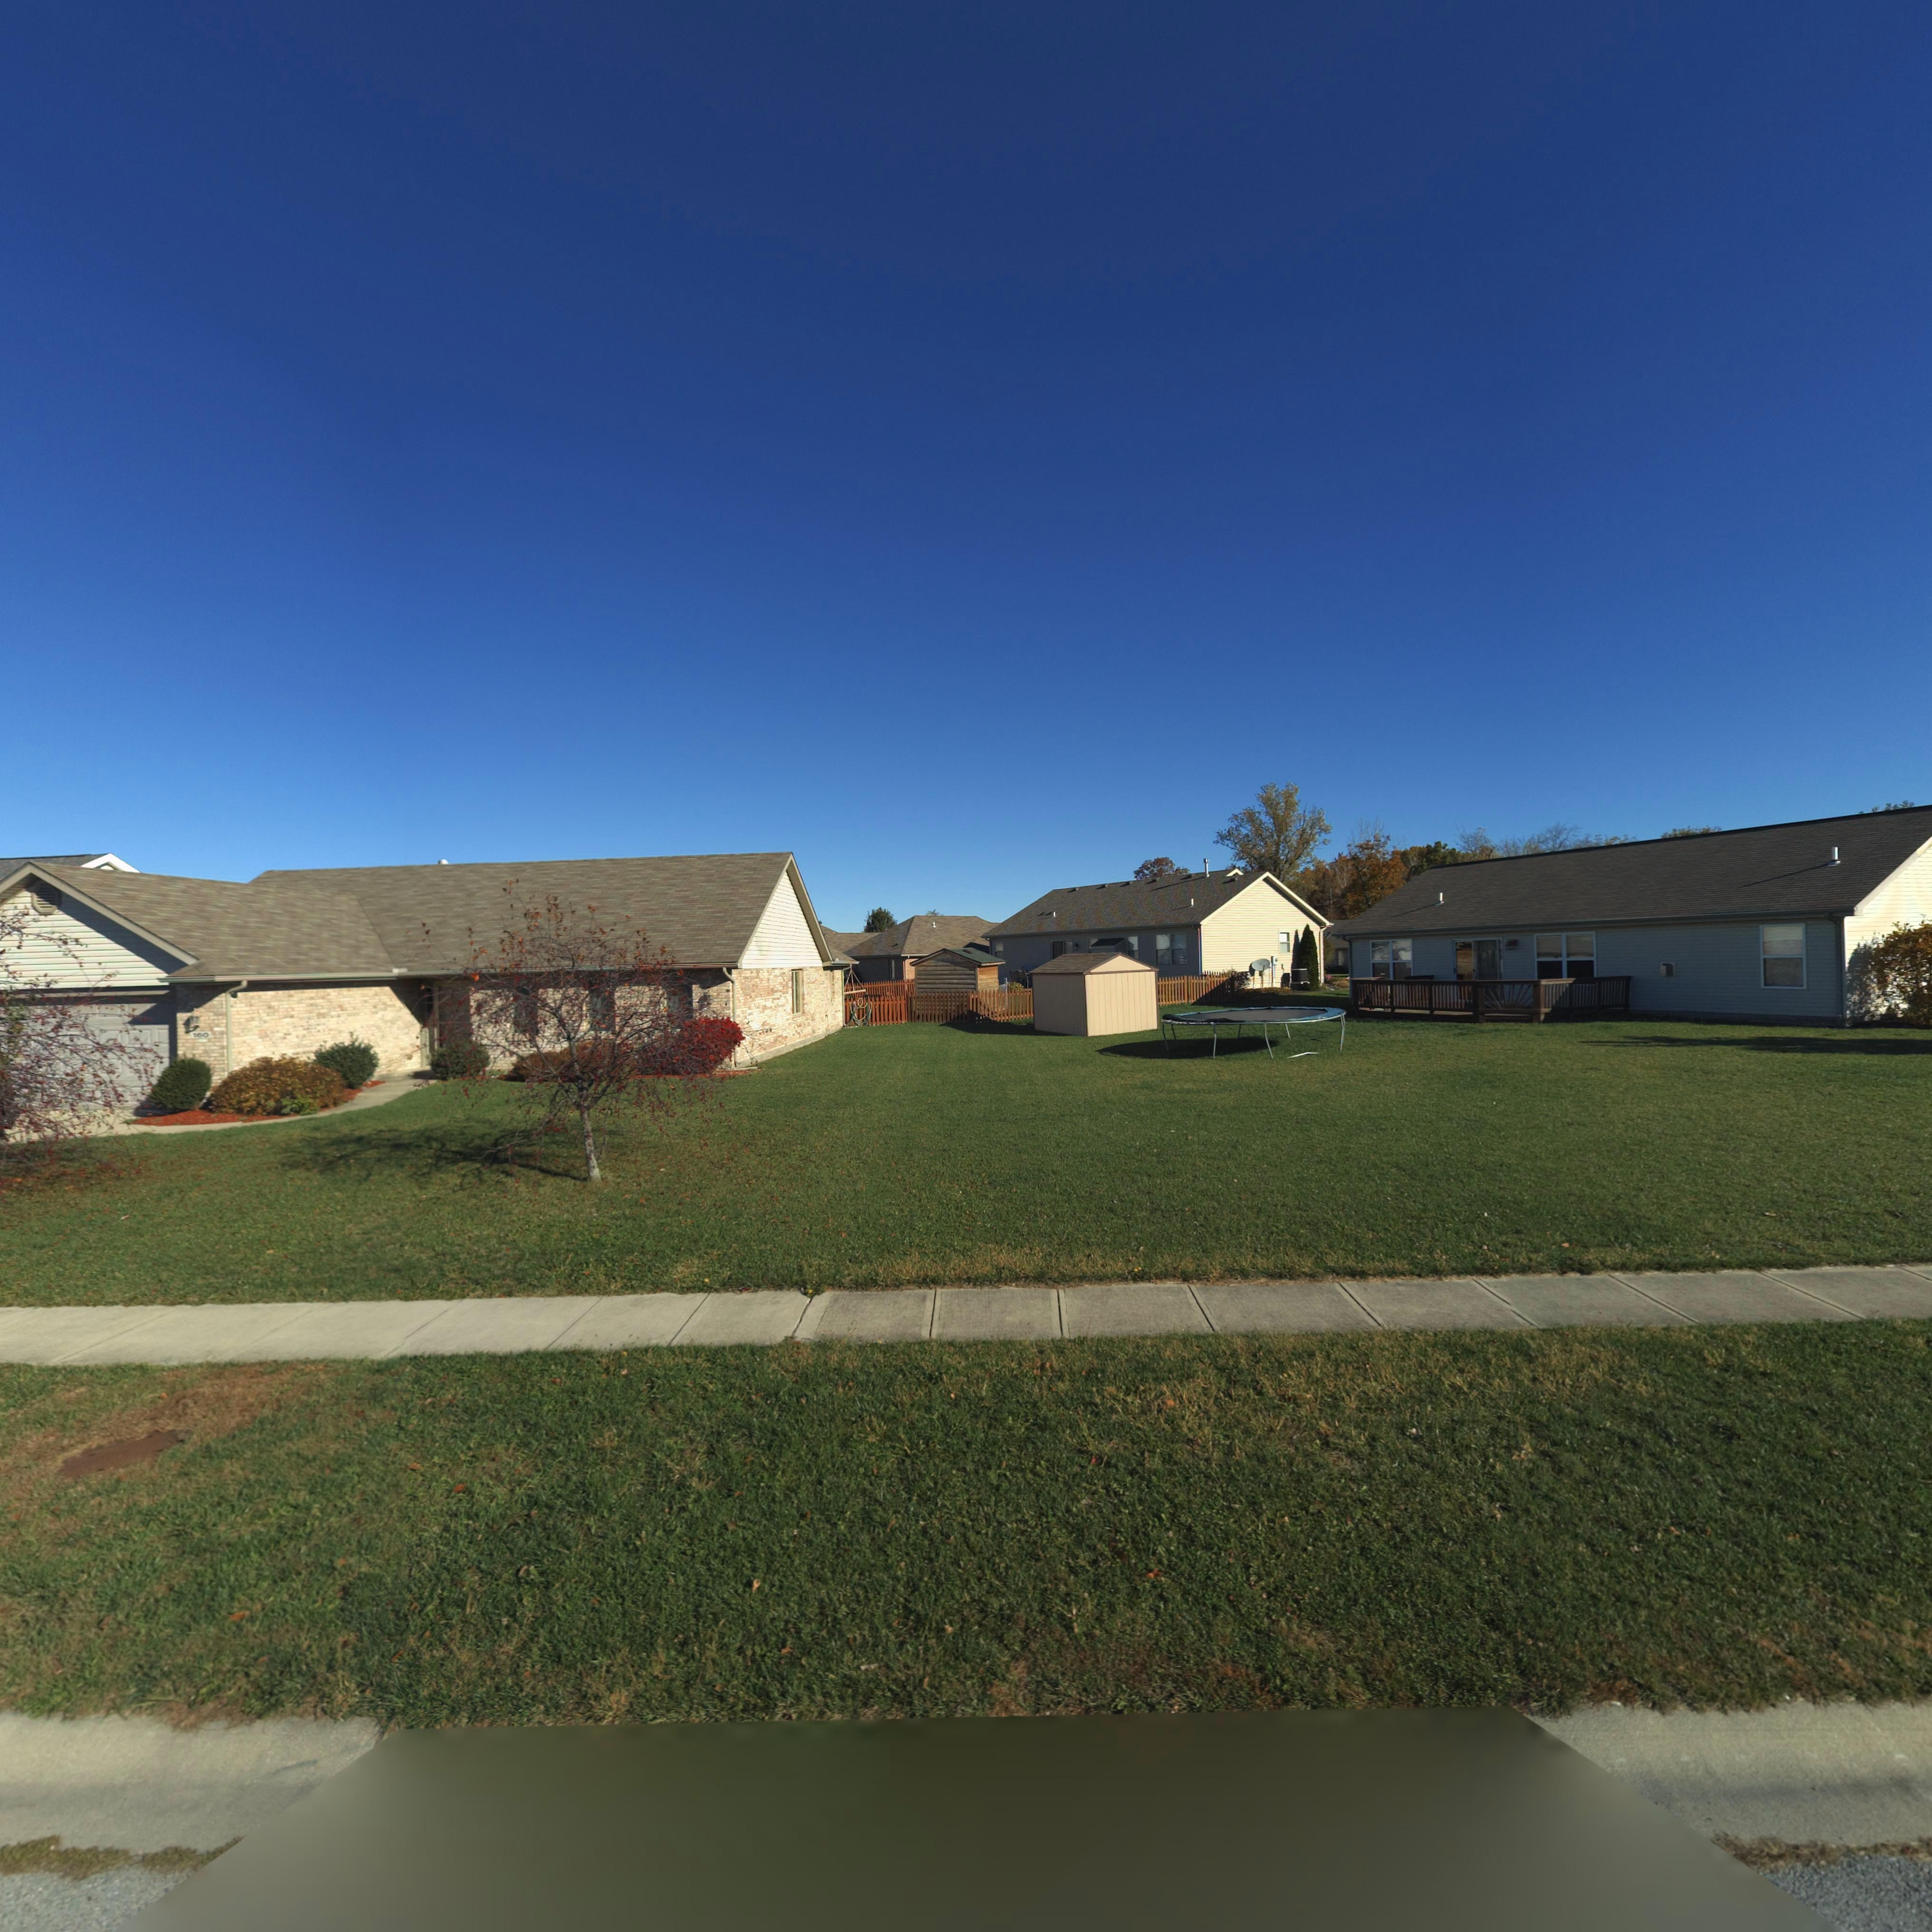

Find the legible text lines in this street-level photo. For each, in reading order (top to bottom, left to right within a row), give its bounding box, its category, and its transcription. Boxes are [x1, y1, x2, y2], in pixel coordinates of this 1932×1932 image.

[192, 1032, 210, 1038] StreetNumber: 160